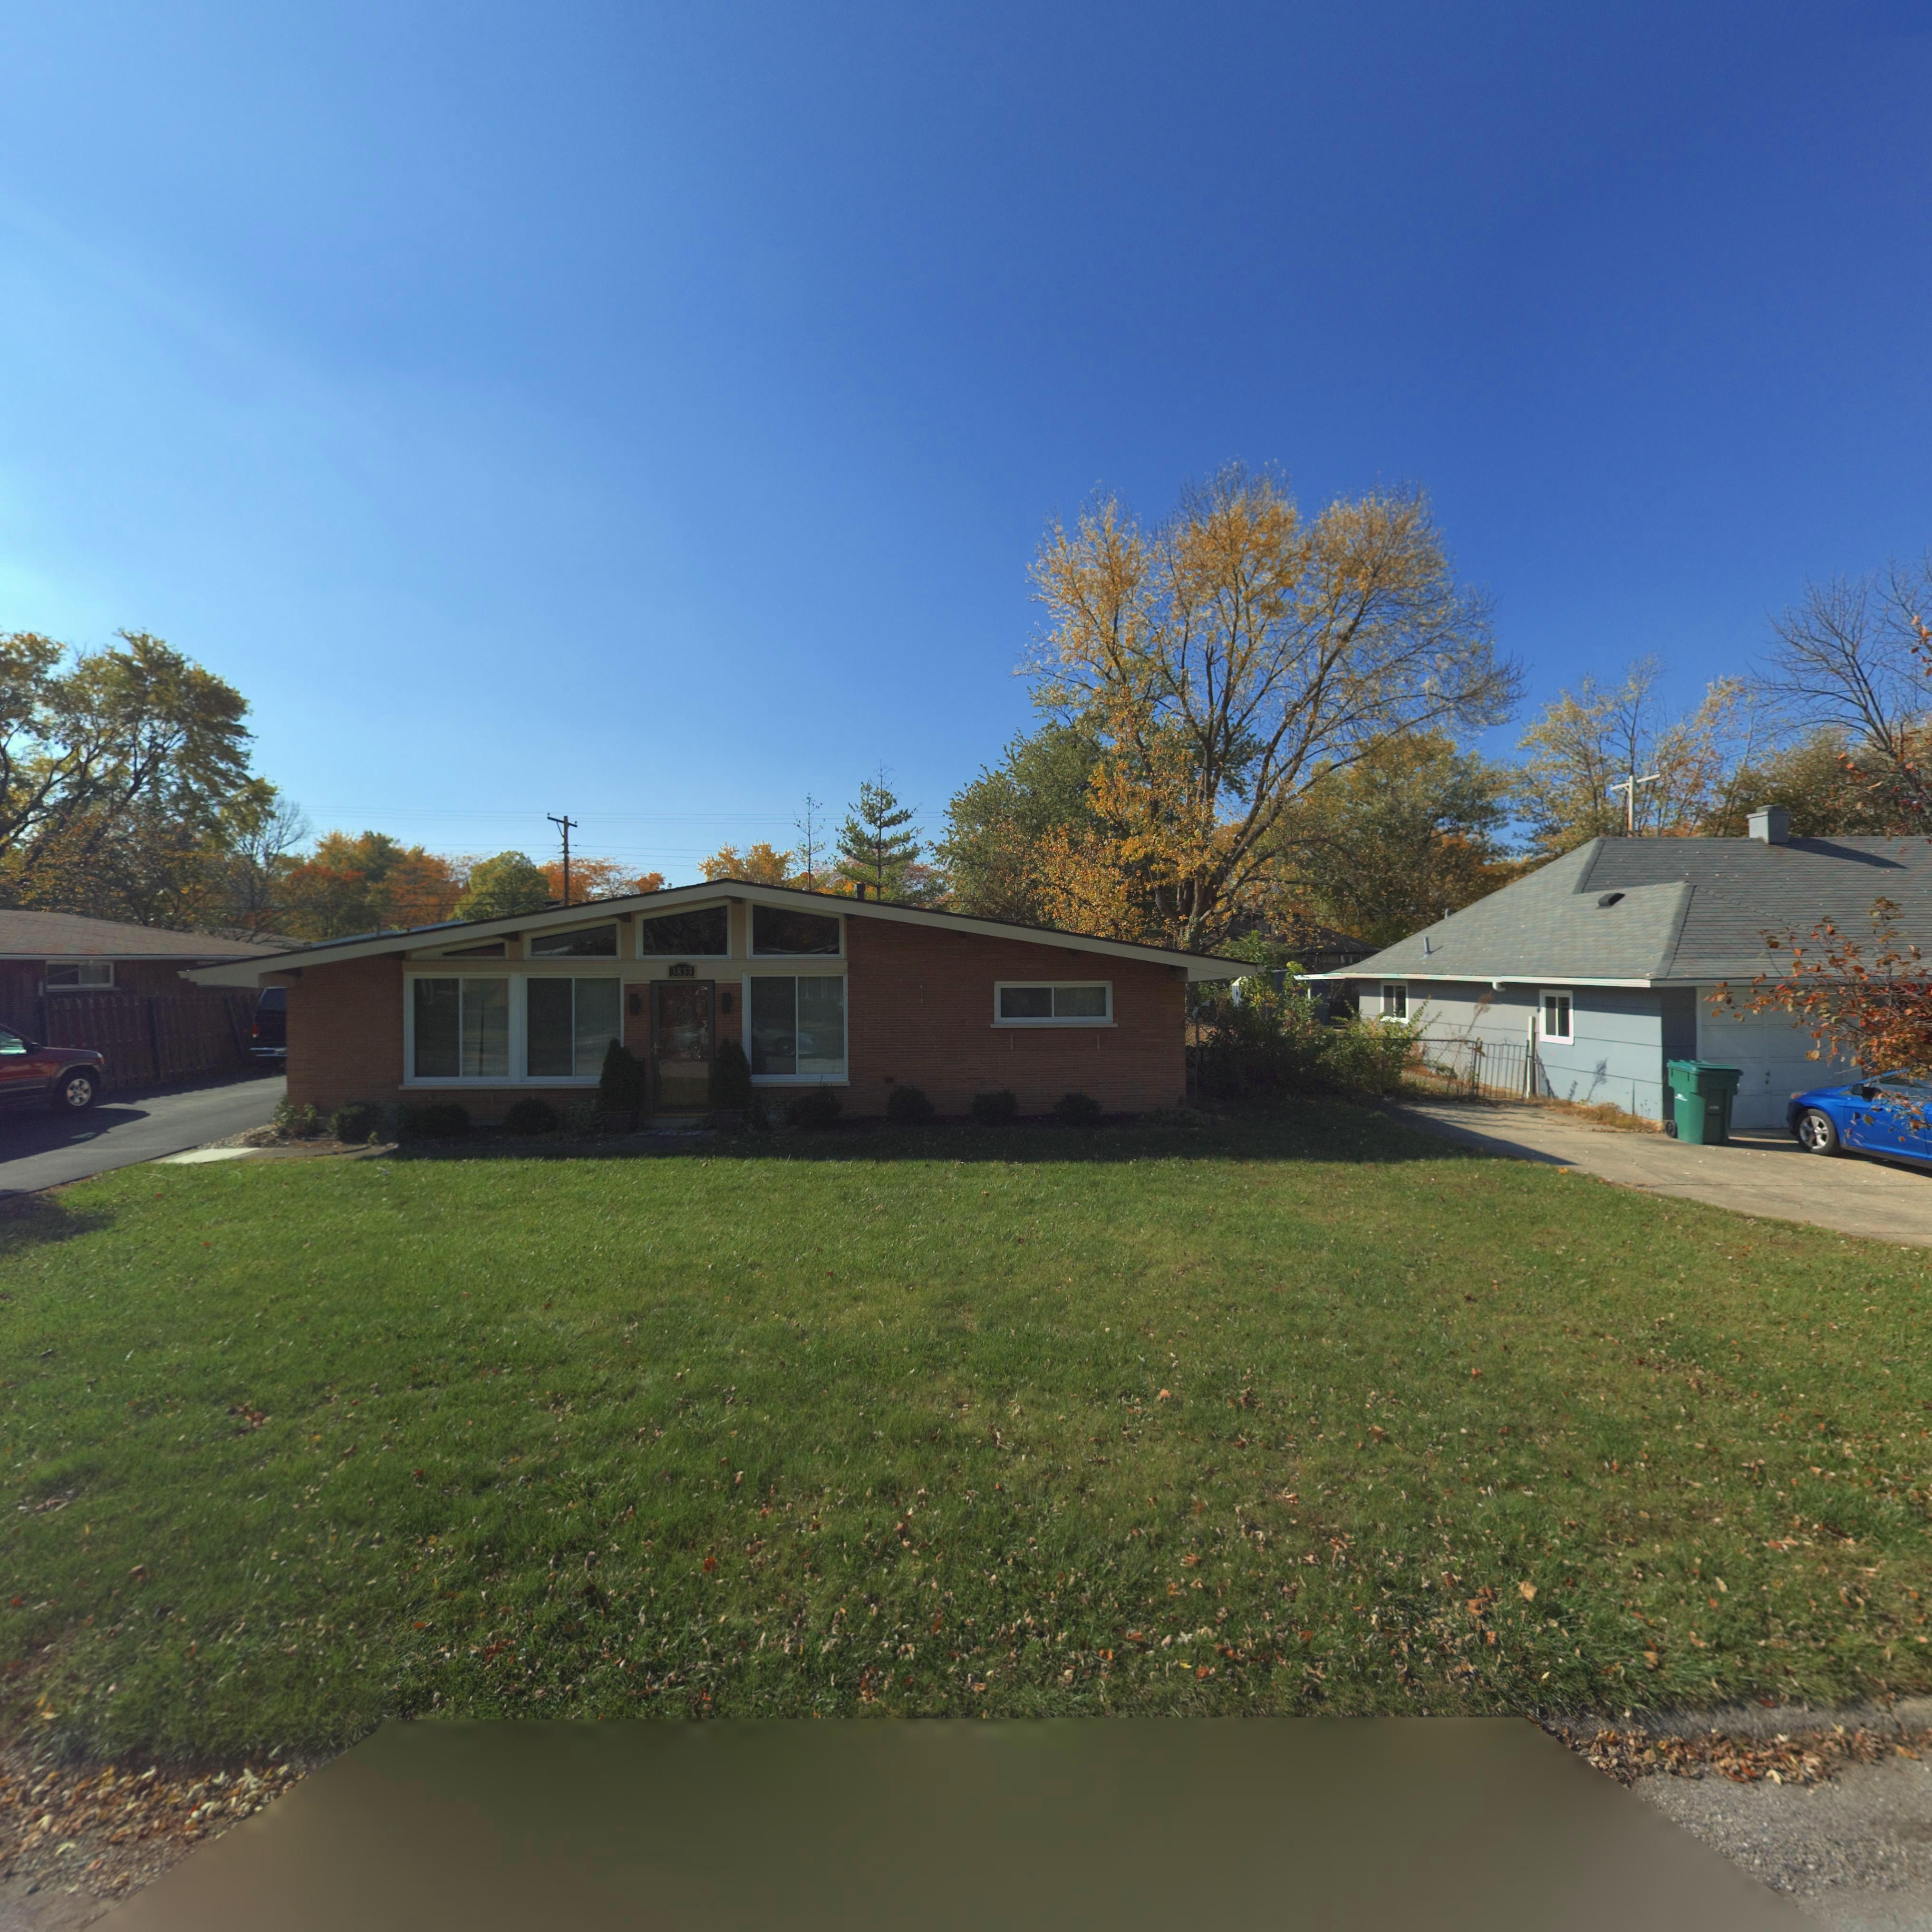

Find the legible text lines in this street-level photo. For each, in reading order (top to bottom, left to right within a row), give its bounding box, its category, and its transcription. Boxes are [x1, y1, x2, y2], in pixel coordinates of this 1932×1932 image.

[671, 967, 692, 976] StreetNumber: 3833